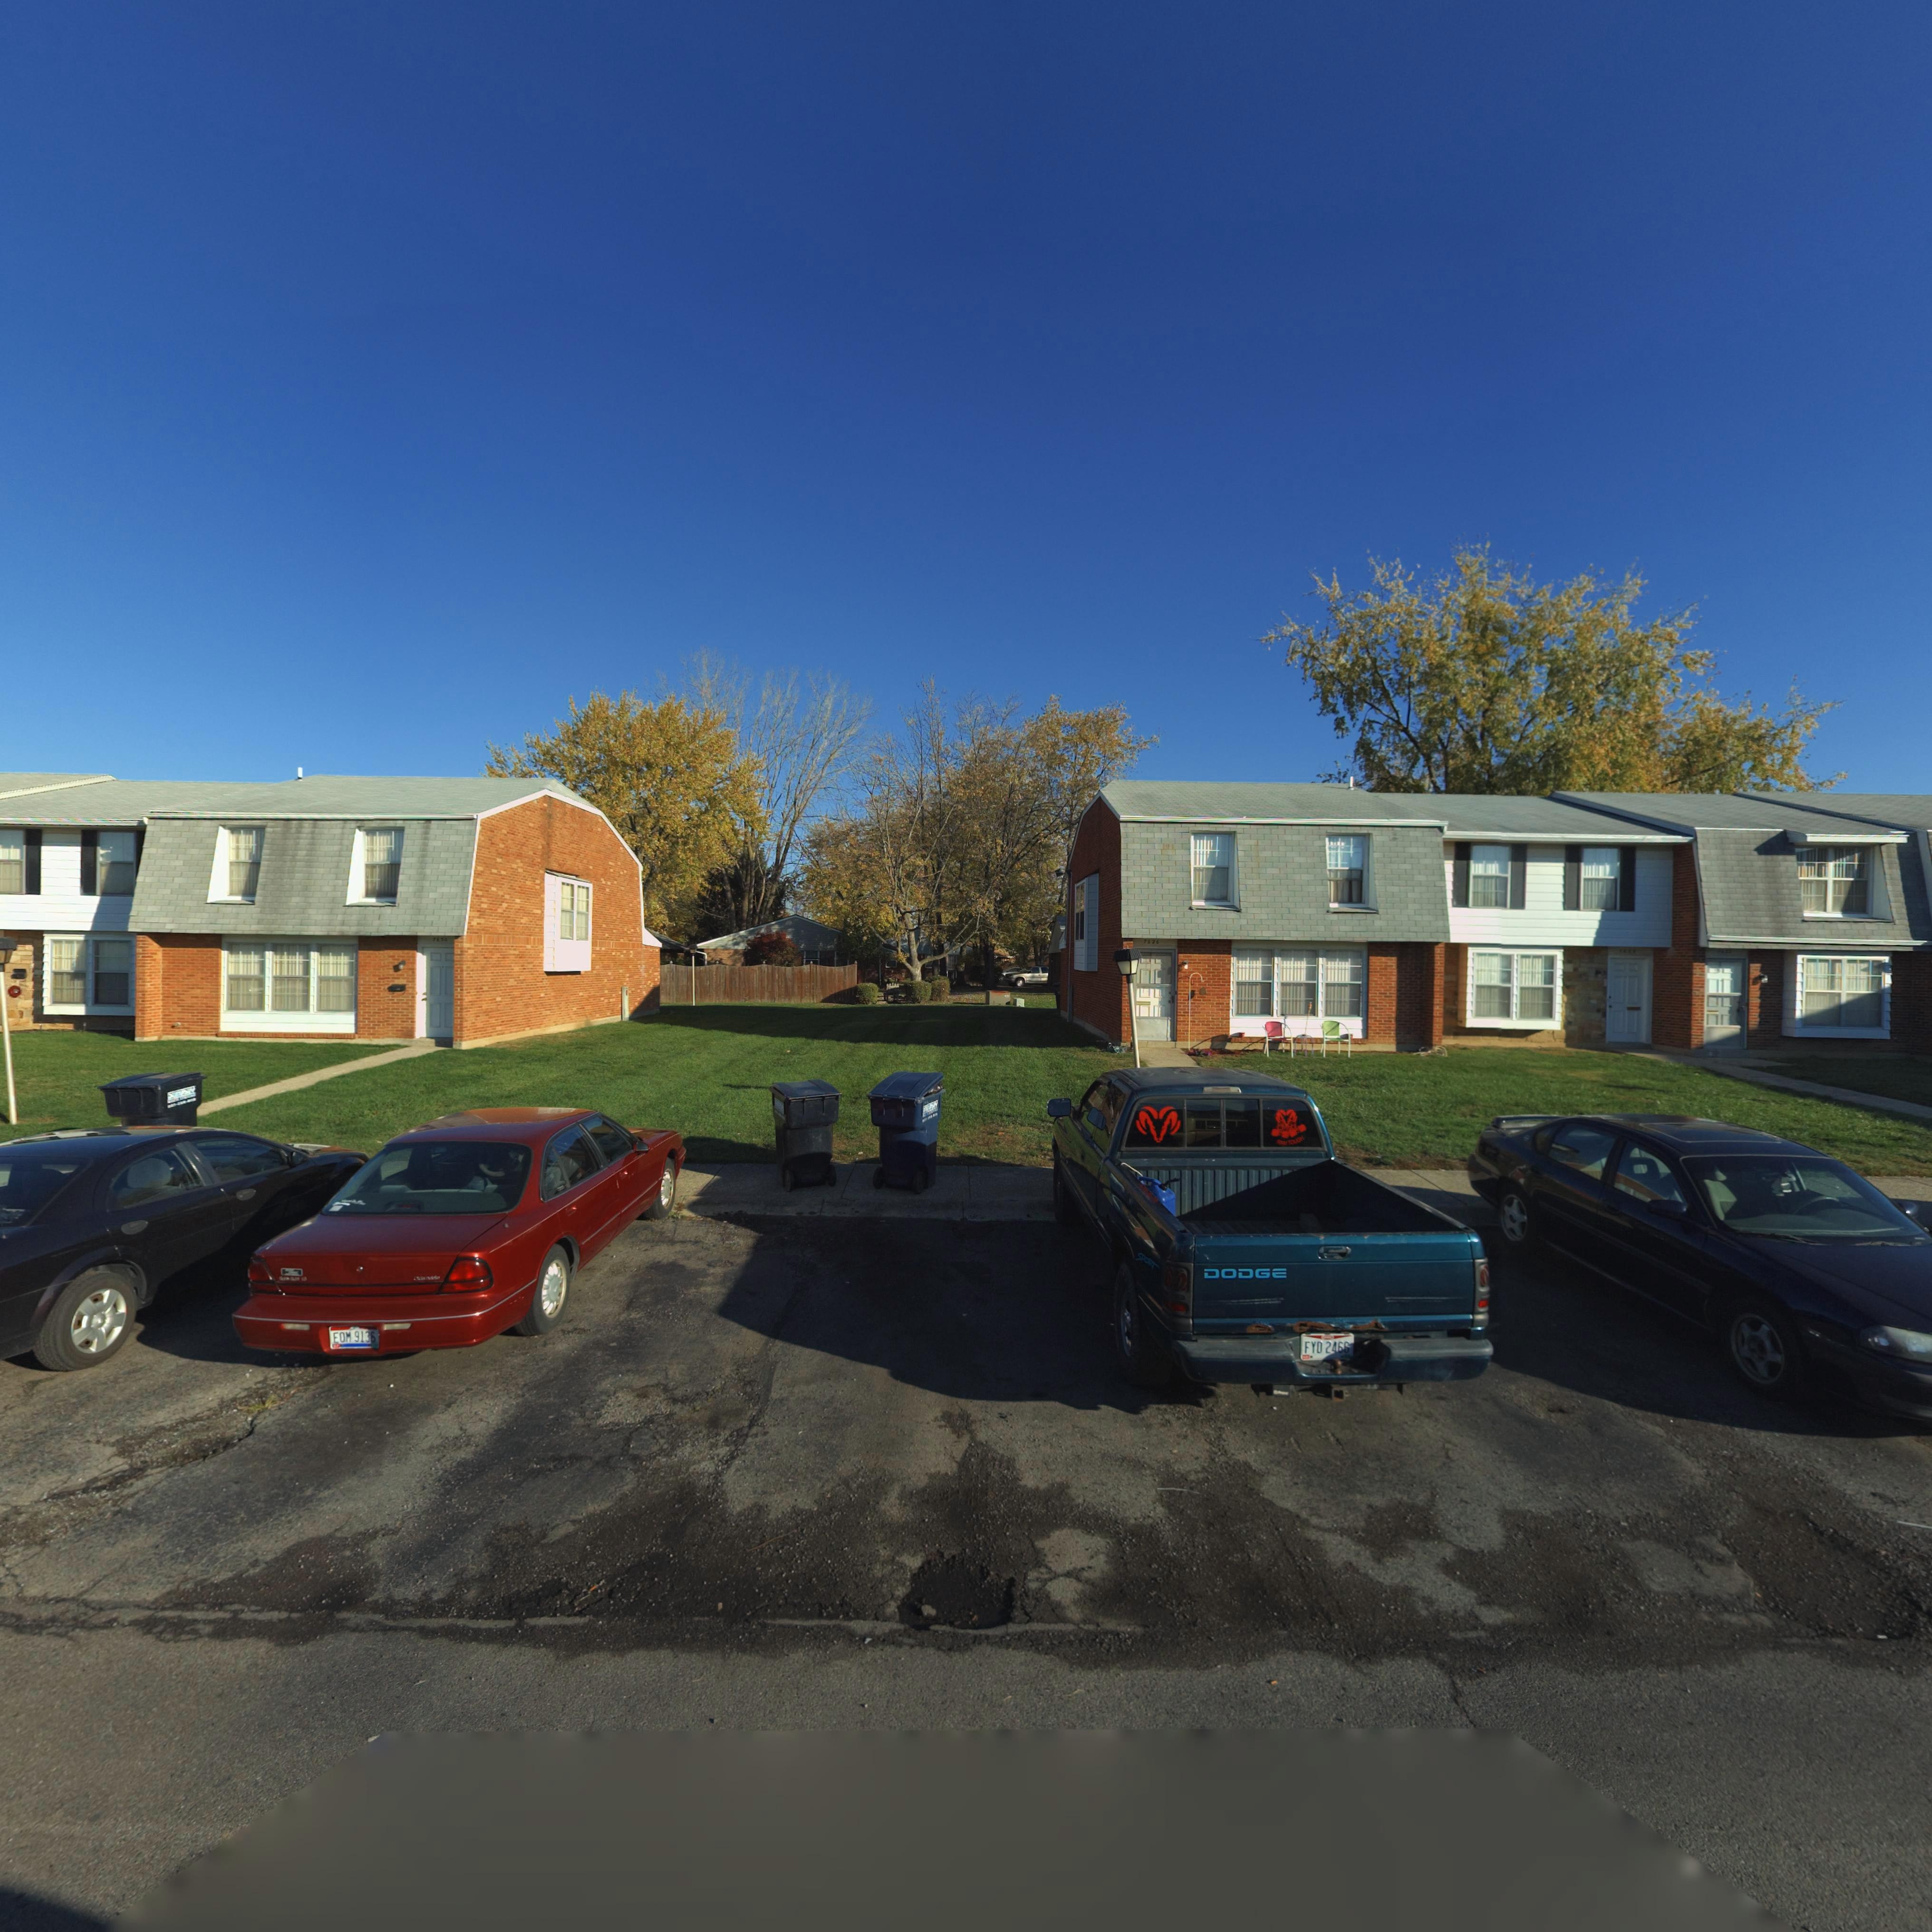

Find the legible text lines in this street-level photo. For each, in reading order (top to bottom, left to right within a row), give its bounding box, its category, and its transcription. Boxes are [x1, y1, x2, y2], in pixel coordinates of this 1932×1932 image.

[432, 937, 448, 942] StreetNumber: 76*0
[1143, 939, 1159, 944] StreetNumber: 7626
[1618, 948, 1636, 955] StreetNumber: 7624
[1716, 948, 1732, 954] StreetNumber: 76**